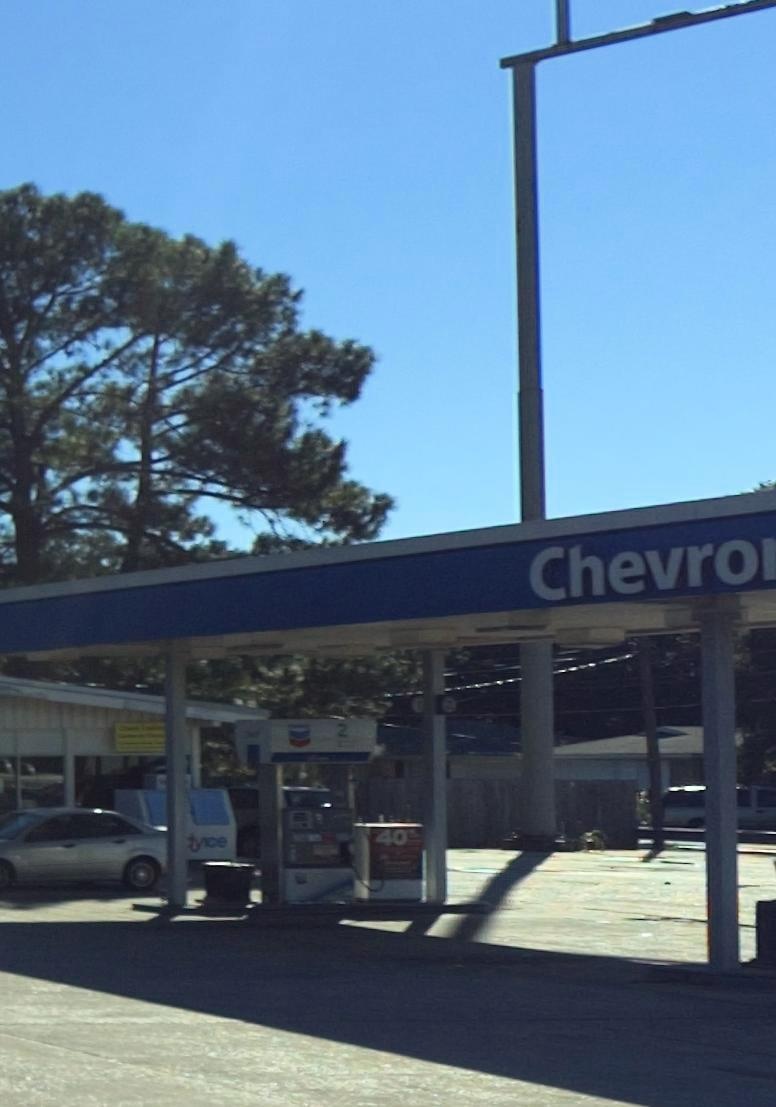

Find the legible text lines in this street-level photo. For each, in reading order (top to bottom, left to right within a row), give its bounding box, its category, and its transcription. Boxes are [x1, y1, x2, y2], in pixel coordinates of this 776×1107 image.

[526, 536, 760, 604] BusinessName: Chevro
[335, 722, 350, 739] None: 2
[193, 835, 228, 853] None: yice
[374, 828, 409, 847] None: 40